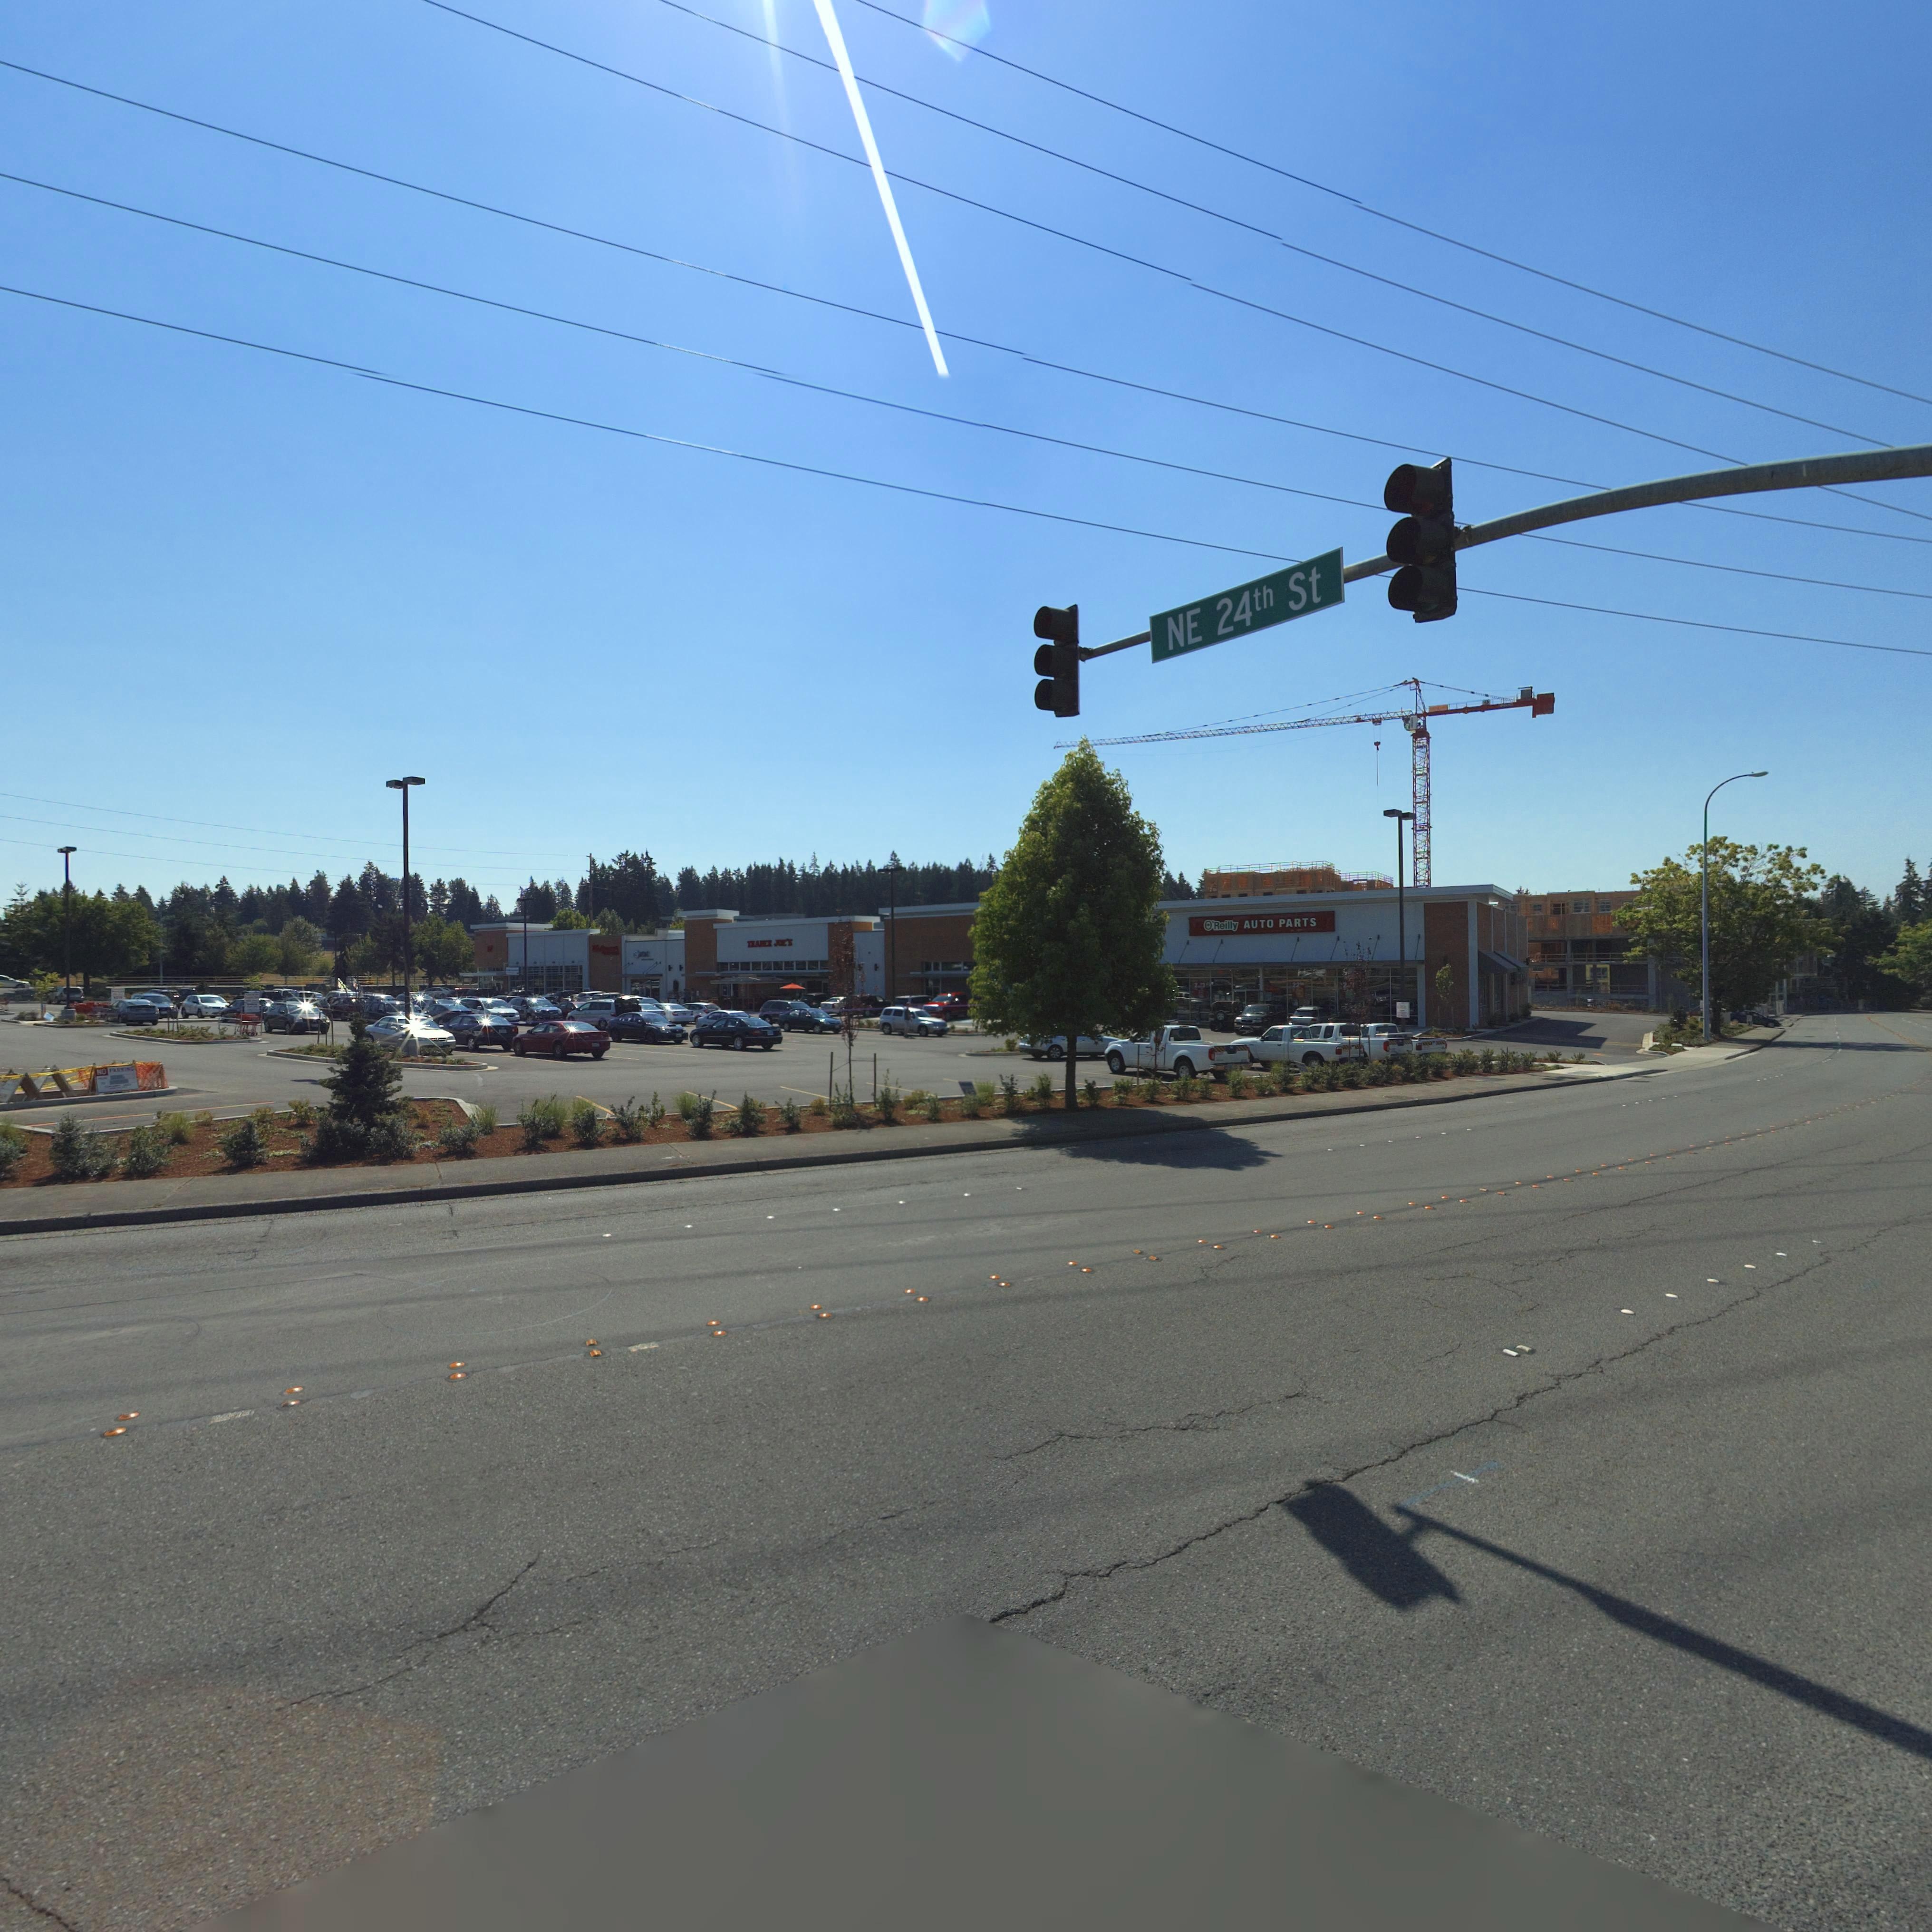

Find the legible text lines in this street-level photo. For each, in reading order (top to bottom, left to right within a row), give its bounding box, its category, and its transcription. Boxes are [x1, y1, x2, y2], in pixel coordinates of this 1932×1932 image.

[1160, 566, 1328, 650] StreetName: NE 24th St
[1204, 918, 1316, 931] BusinessName: O'Reilly AUTO PARTS
[746, 937, 794, 948] BusinessName: TRADER JOE'S